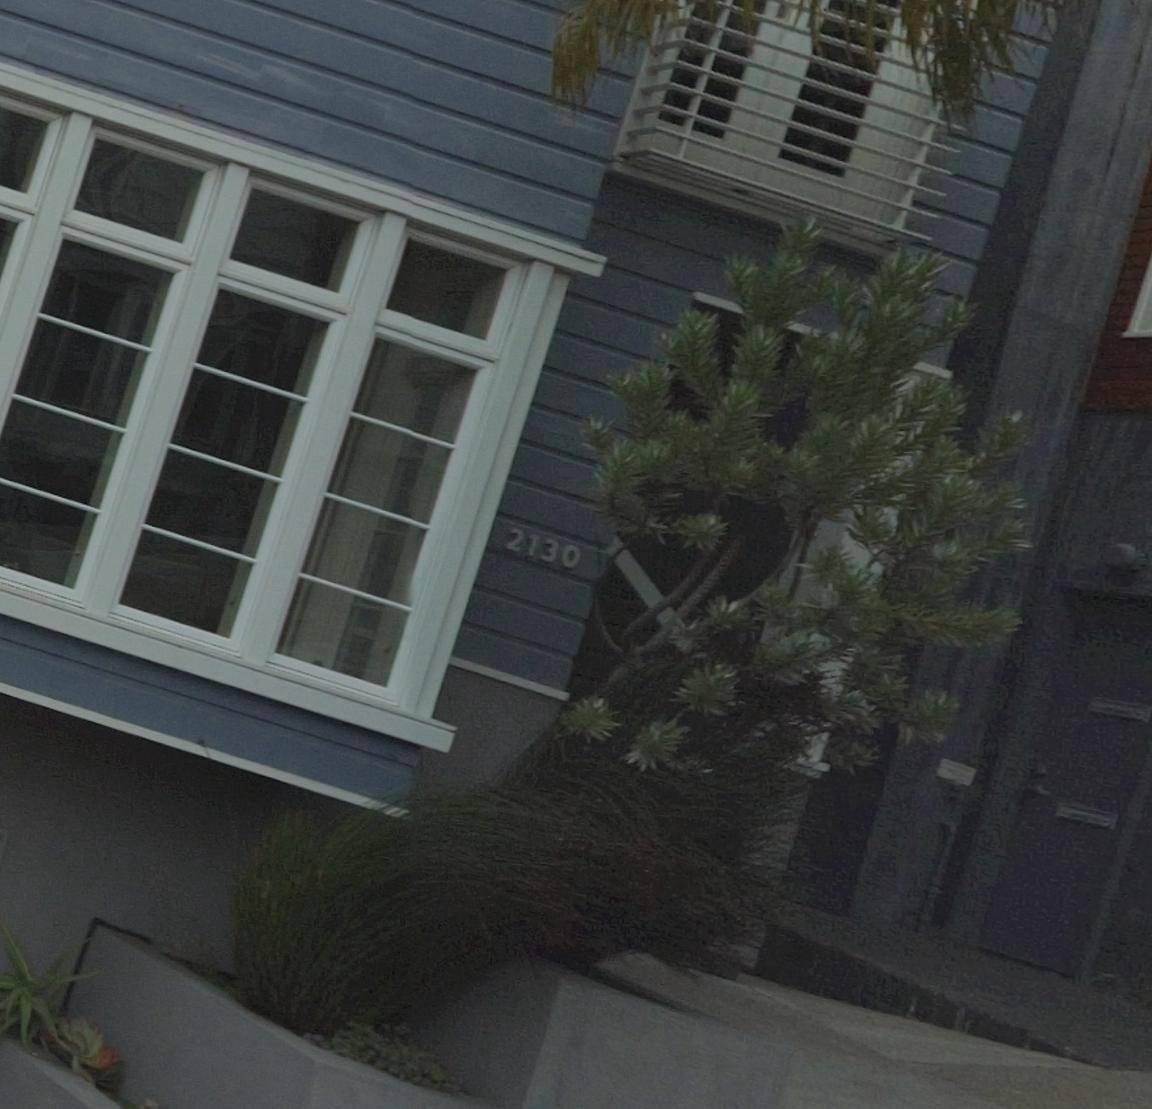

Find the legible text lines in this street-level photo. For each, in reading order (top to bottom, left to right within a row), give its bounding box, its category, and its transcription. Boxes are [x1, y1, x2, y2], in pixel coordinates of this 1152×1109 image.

[502, 527, 587, 572] StreetNumber: 2130